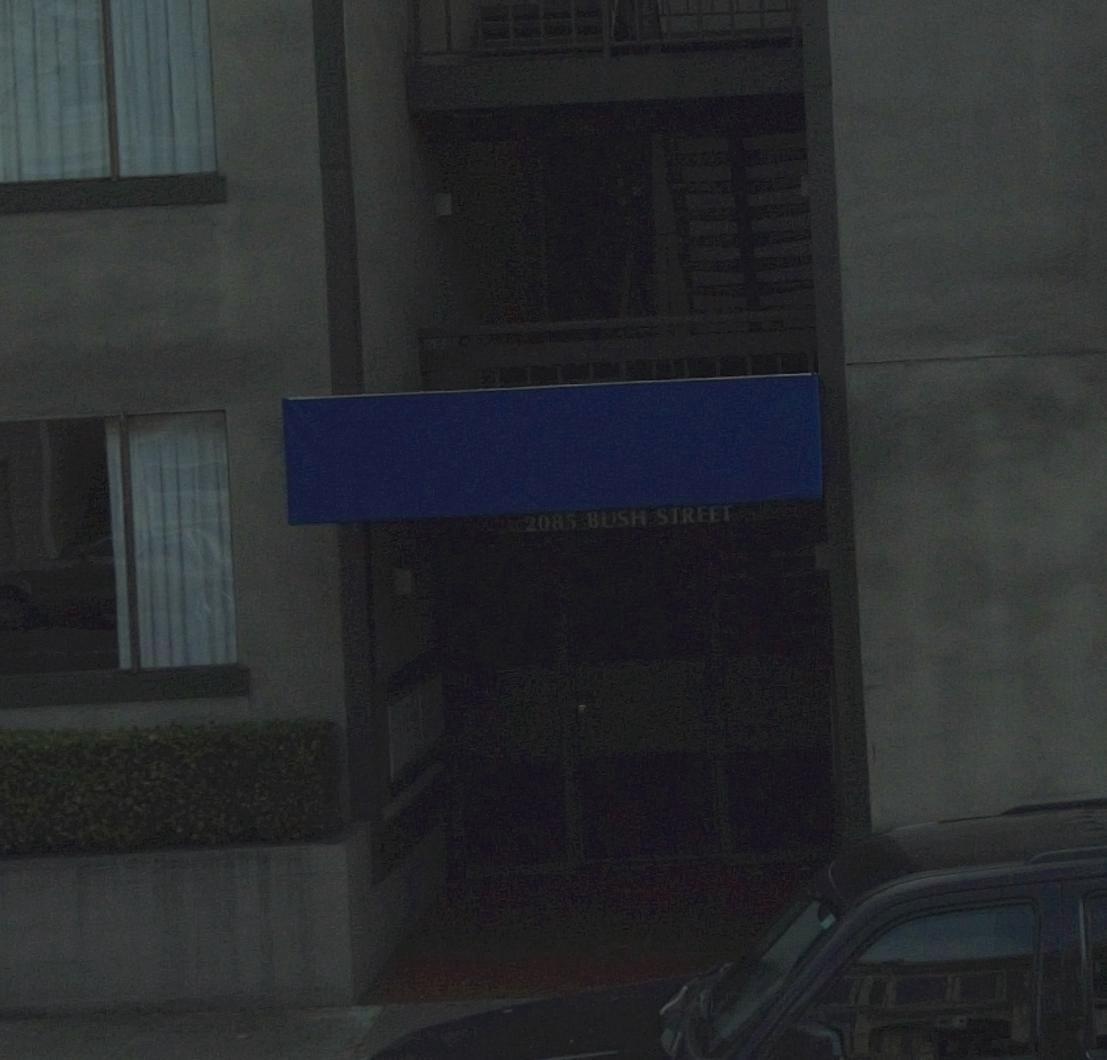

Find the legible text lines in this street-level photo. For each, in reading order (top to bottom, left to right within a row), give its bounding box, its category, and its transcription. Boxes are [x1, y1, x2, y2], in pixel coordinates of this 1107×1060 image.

[521, 510, 580, 535] StreetNumber: 2085
[584, 502, 736, 532] StreetName: BUSH STREET